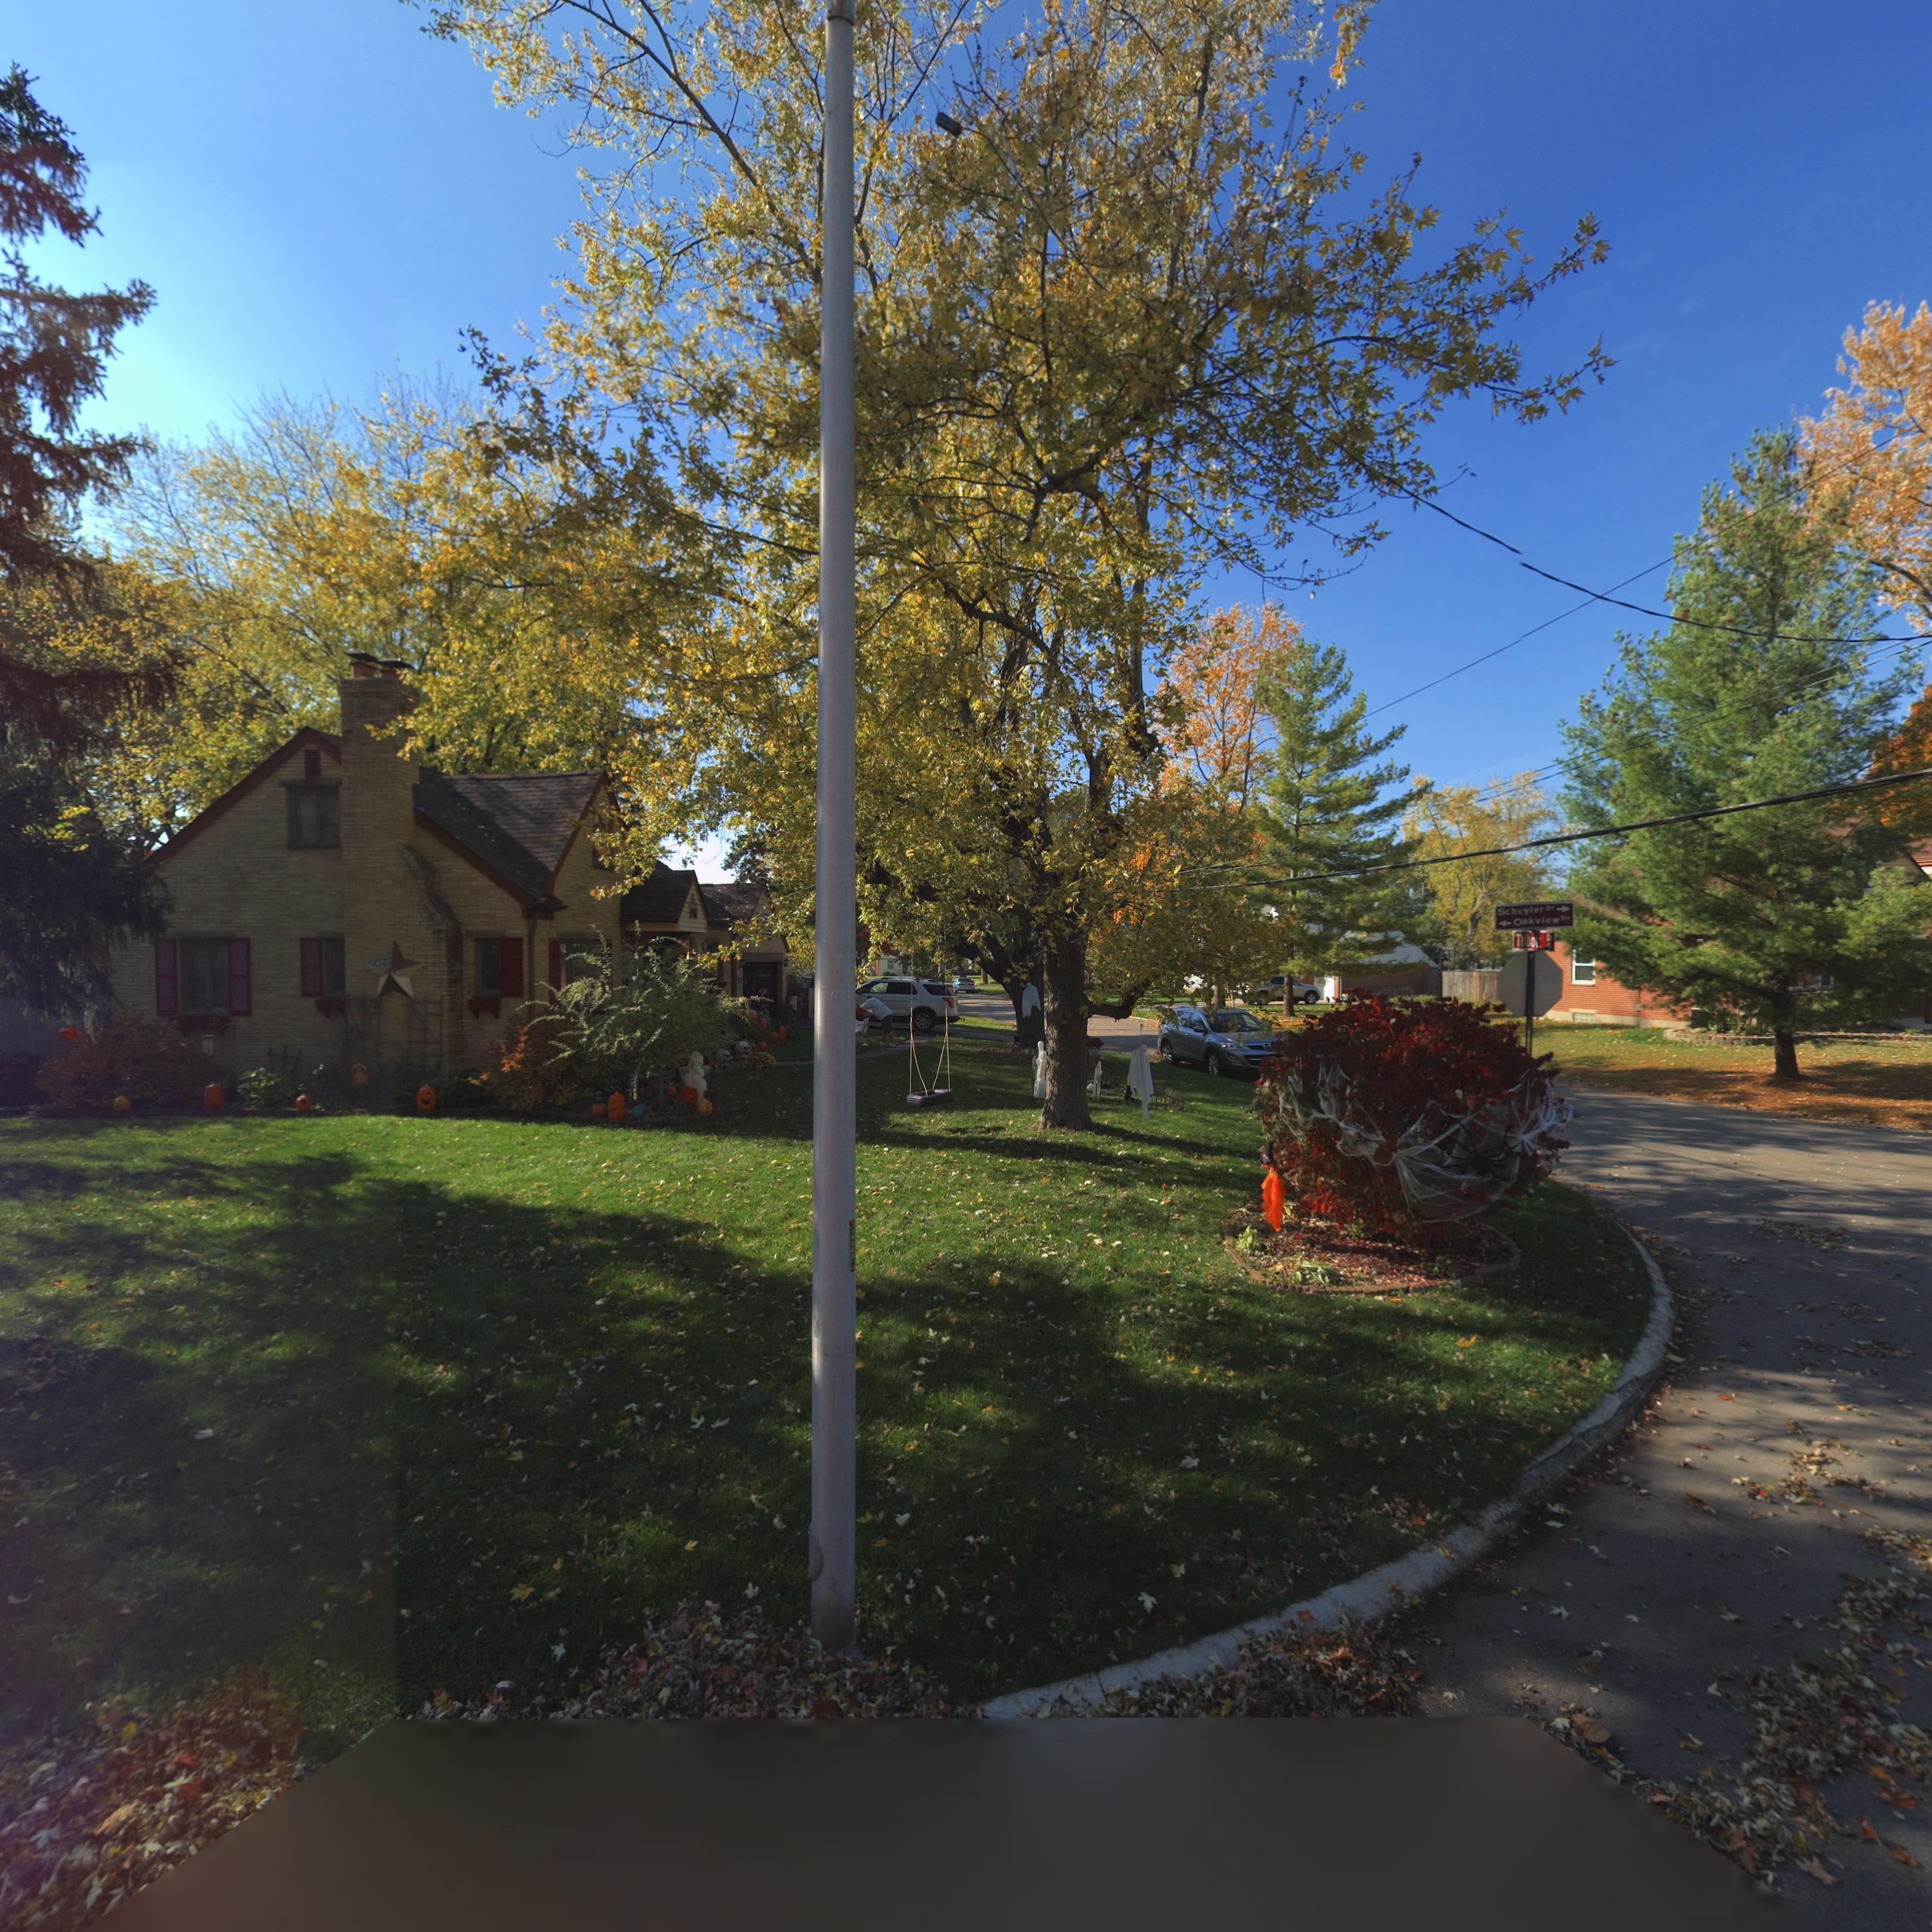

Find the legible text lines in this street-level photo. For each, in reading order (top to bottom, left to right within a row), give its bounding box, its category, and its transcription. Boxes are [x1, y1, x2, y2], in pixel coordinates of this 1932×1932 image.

[1497, 905, 1572, 916] StreetName: Schuvler Dr ->
[1497, 915, 1572, 928] StreetName: <- Oakview Dr
[1515, 932, 1554, 949] StreetName: Talbot Dr